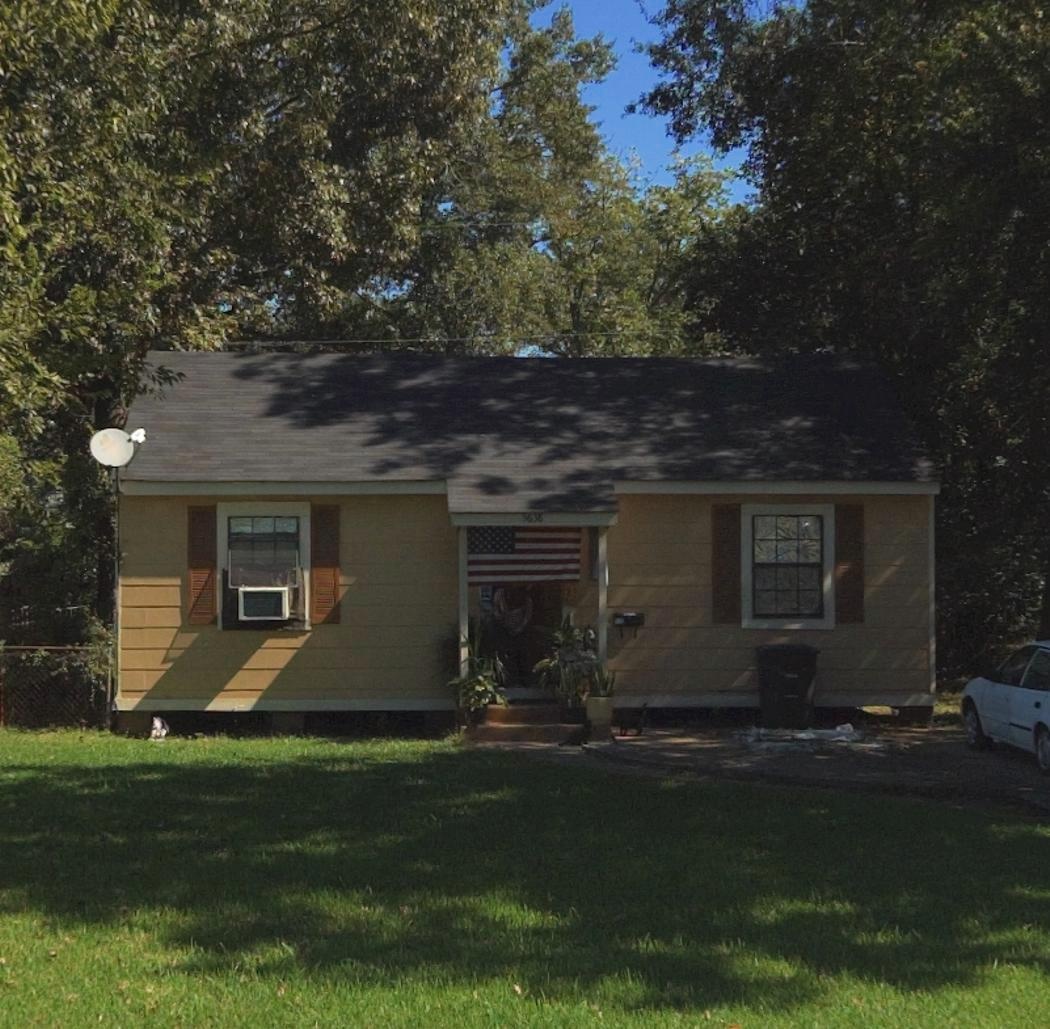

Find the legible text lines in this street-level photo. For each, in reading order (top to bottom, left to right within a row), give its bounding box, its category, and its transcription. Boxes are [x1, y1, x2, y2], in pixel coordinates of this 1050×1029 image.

[521, 512, 545, 524] StreetNumber: 5638